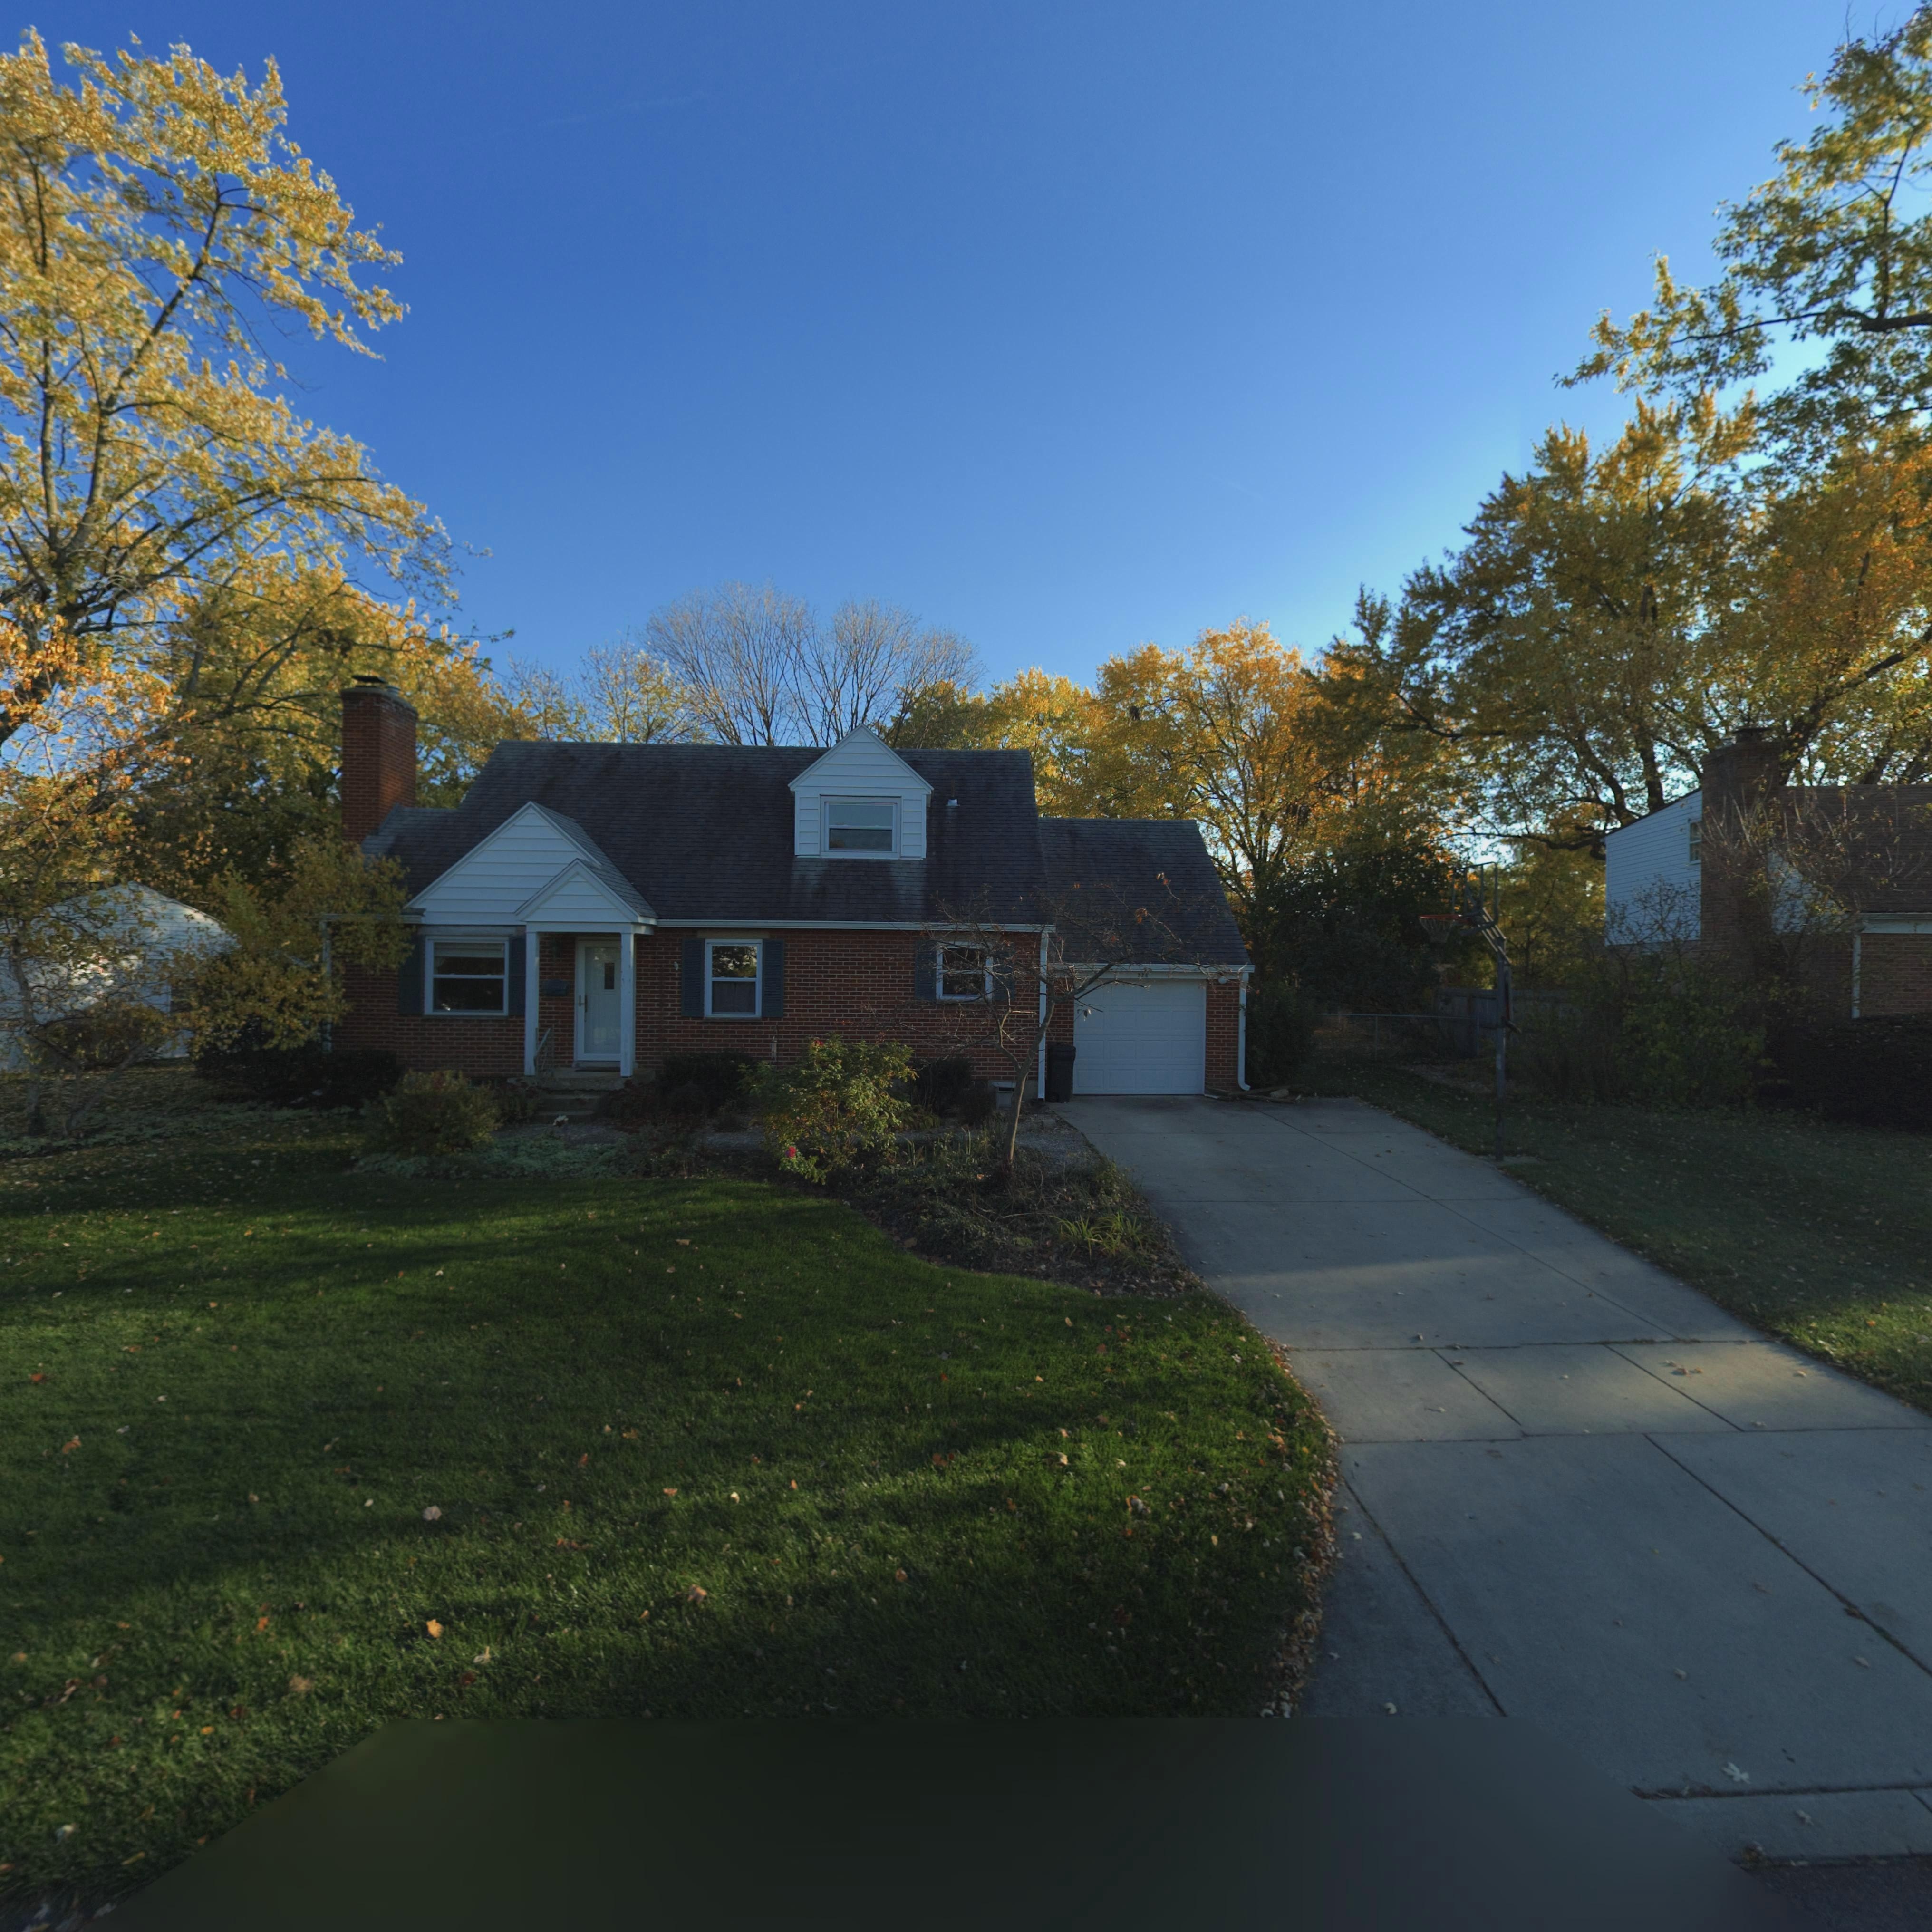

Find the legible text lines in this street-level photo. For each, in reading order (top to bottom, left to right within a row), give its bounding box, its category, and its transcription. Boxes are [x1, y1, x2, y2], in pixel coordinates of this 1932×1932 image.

[1137, 972, 1148, 978] StreetNumber: 524